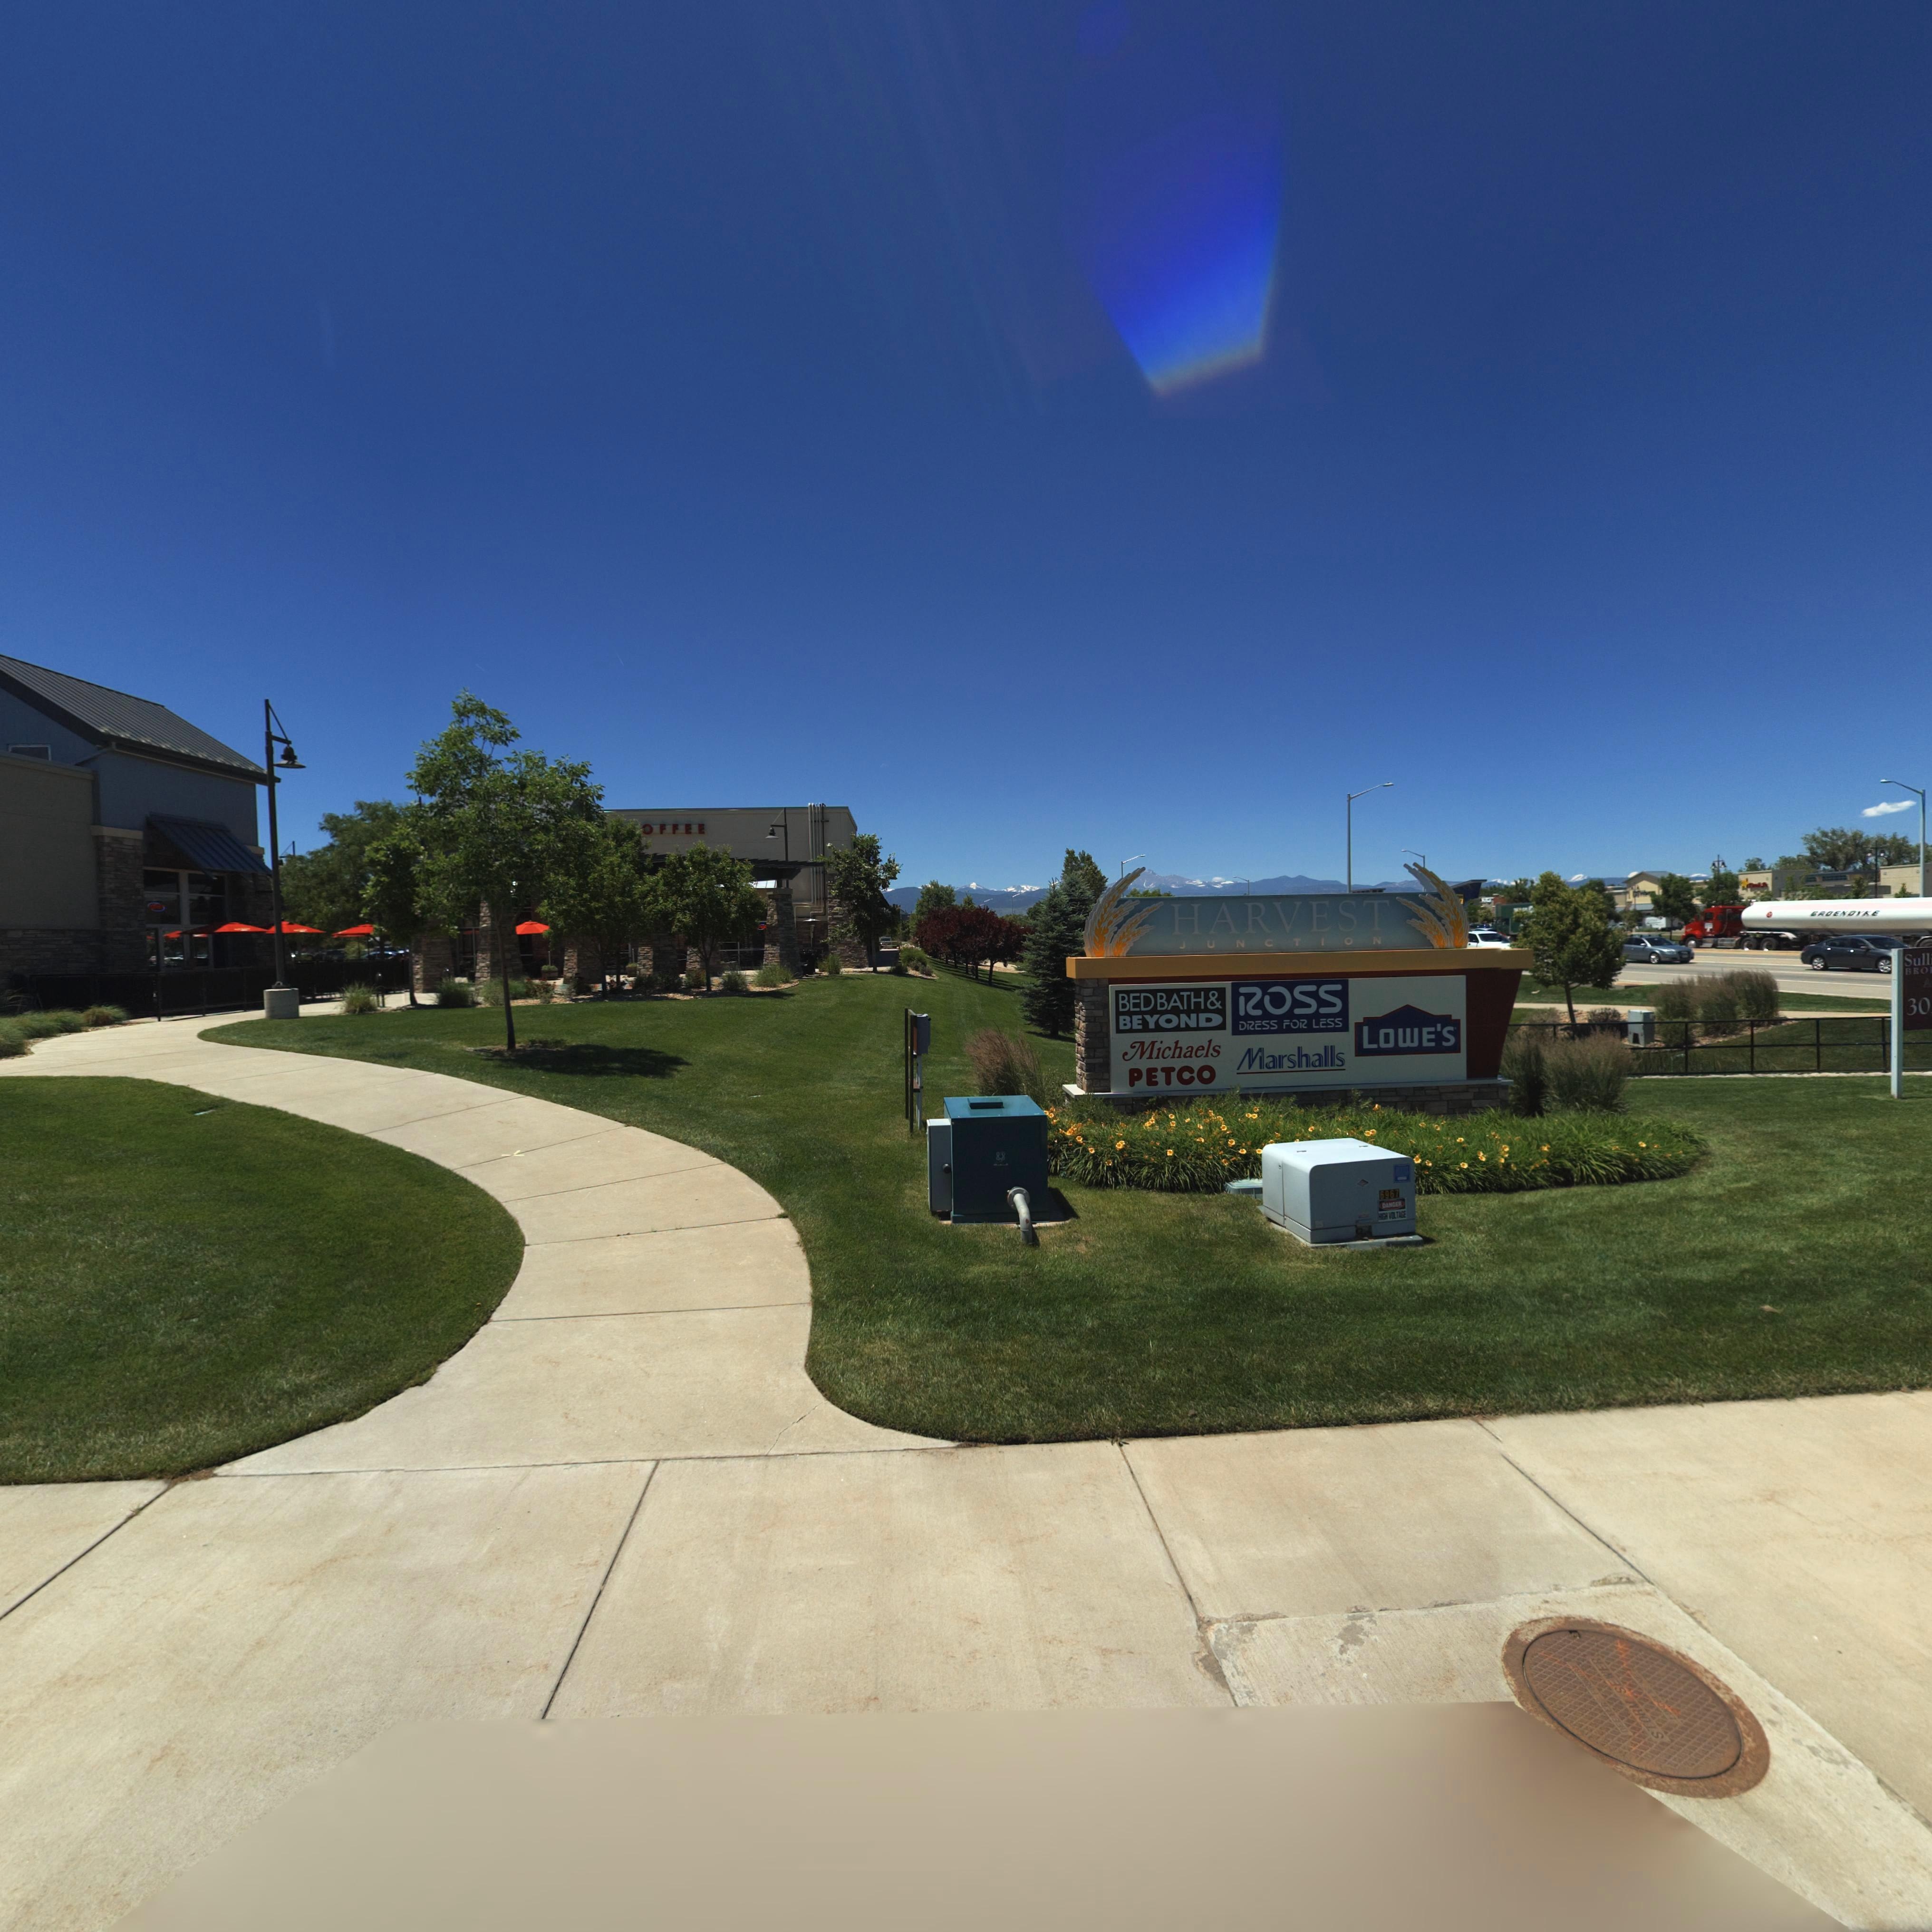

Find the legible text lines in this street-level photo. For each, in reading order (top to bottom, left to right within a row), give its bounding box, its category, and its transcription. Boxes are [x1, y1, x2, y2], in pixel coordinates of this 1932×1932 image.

[640, 822, 705, 835] BusinessName: OFFEE
[1117, 990, 1223, 1012] BusinessName: BEDBATH&
[1236, 983, 1344, 1017] BusinessName: ROSS
[1118, 1012, 1224, 1031] BusinessName: BEYOND
[1237, 1017, 1344, 1032] BusinessName: DRESS FOR LESS
[1363, 1023, 1457, 1048] BusinessName: LOWE'S
[1121, 1038, 1222, 1063] BusinessName: Michaels
[1234, 1043, 1348, 1071] BusinessName: Marshalls
[1127, 1063, 1218, 1088] BusinessName: PETCO